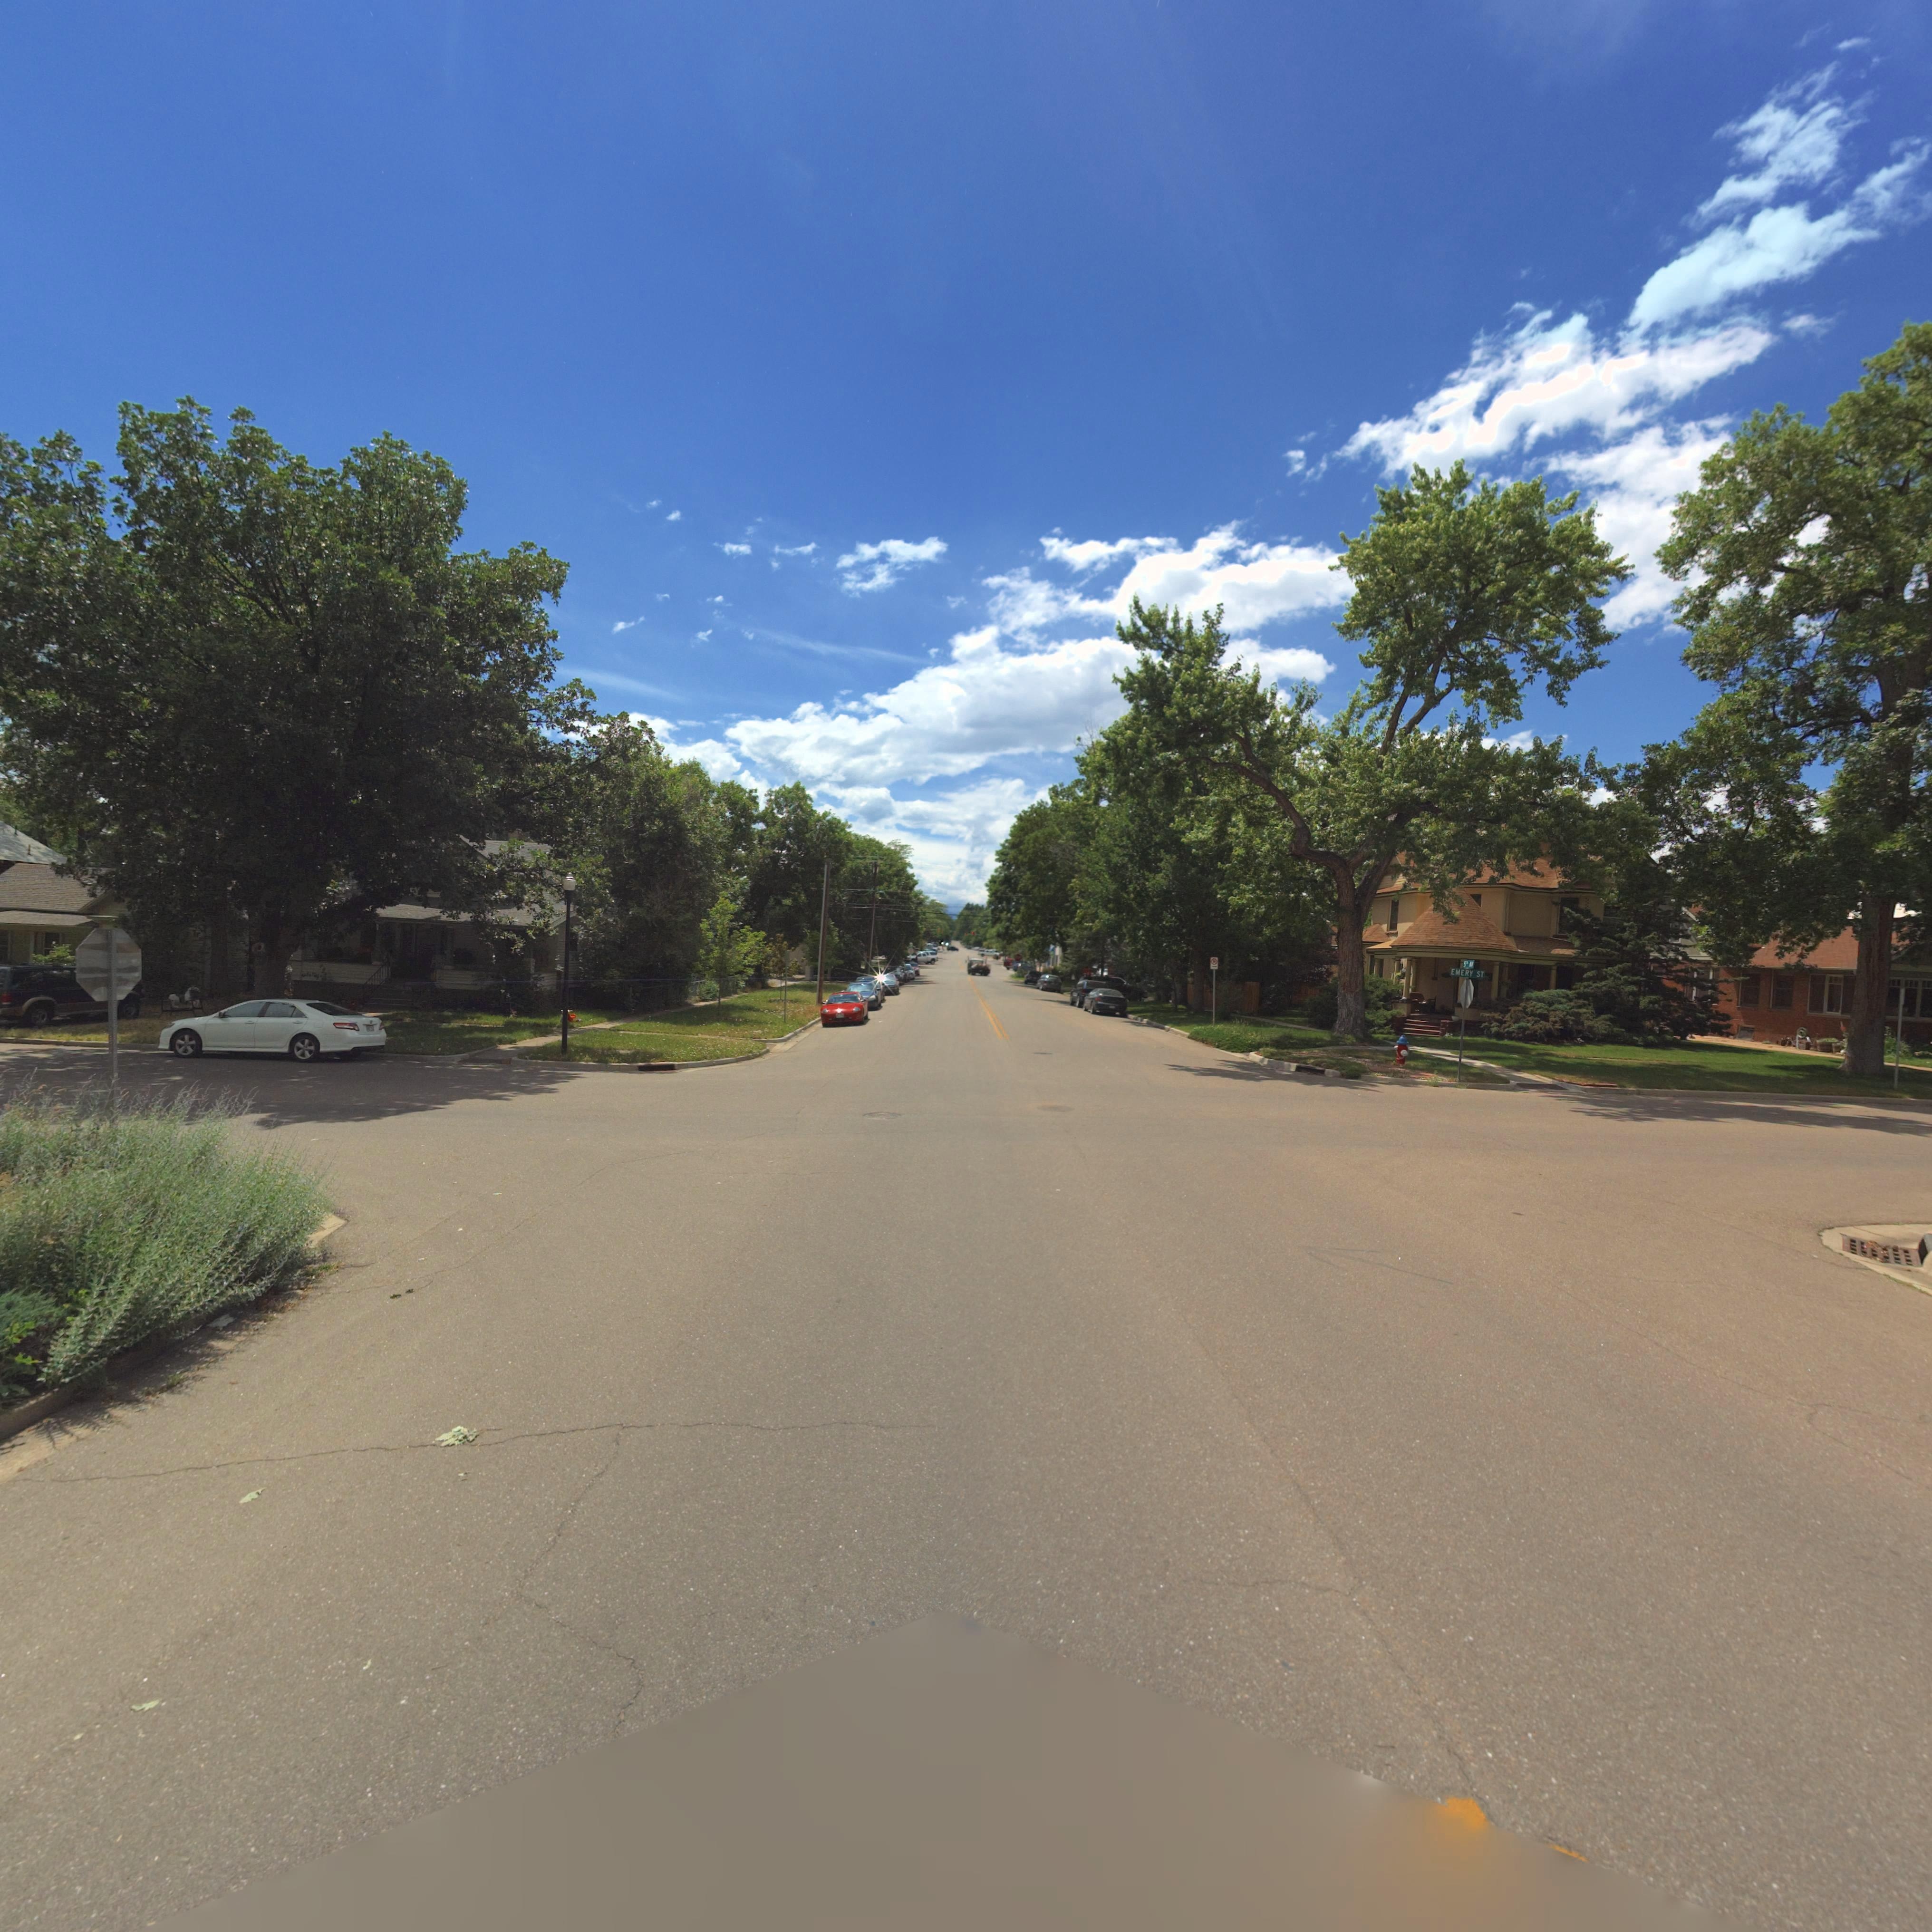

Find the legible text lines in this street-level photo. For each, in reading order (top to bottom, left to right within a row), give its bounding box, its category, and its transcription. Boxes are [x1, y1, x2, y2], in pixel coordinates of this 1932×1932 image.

[1463, 960, 1474, 967] StreetName: 5TH AV
[1450, 968, 1484, 978] StreetName: EMERY ST